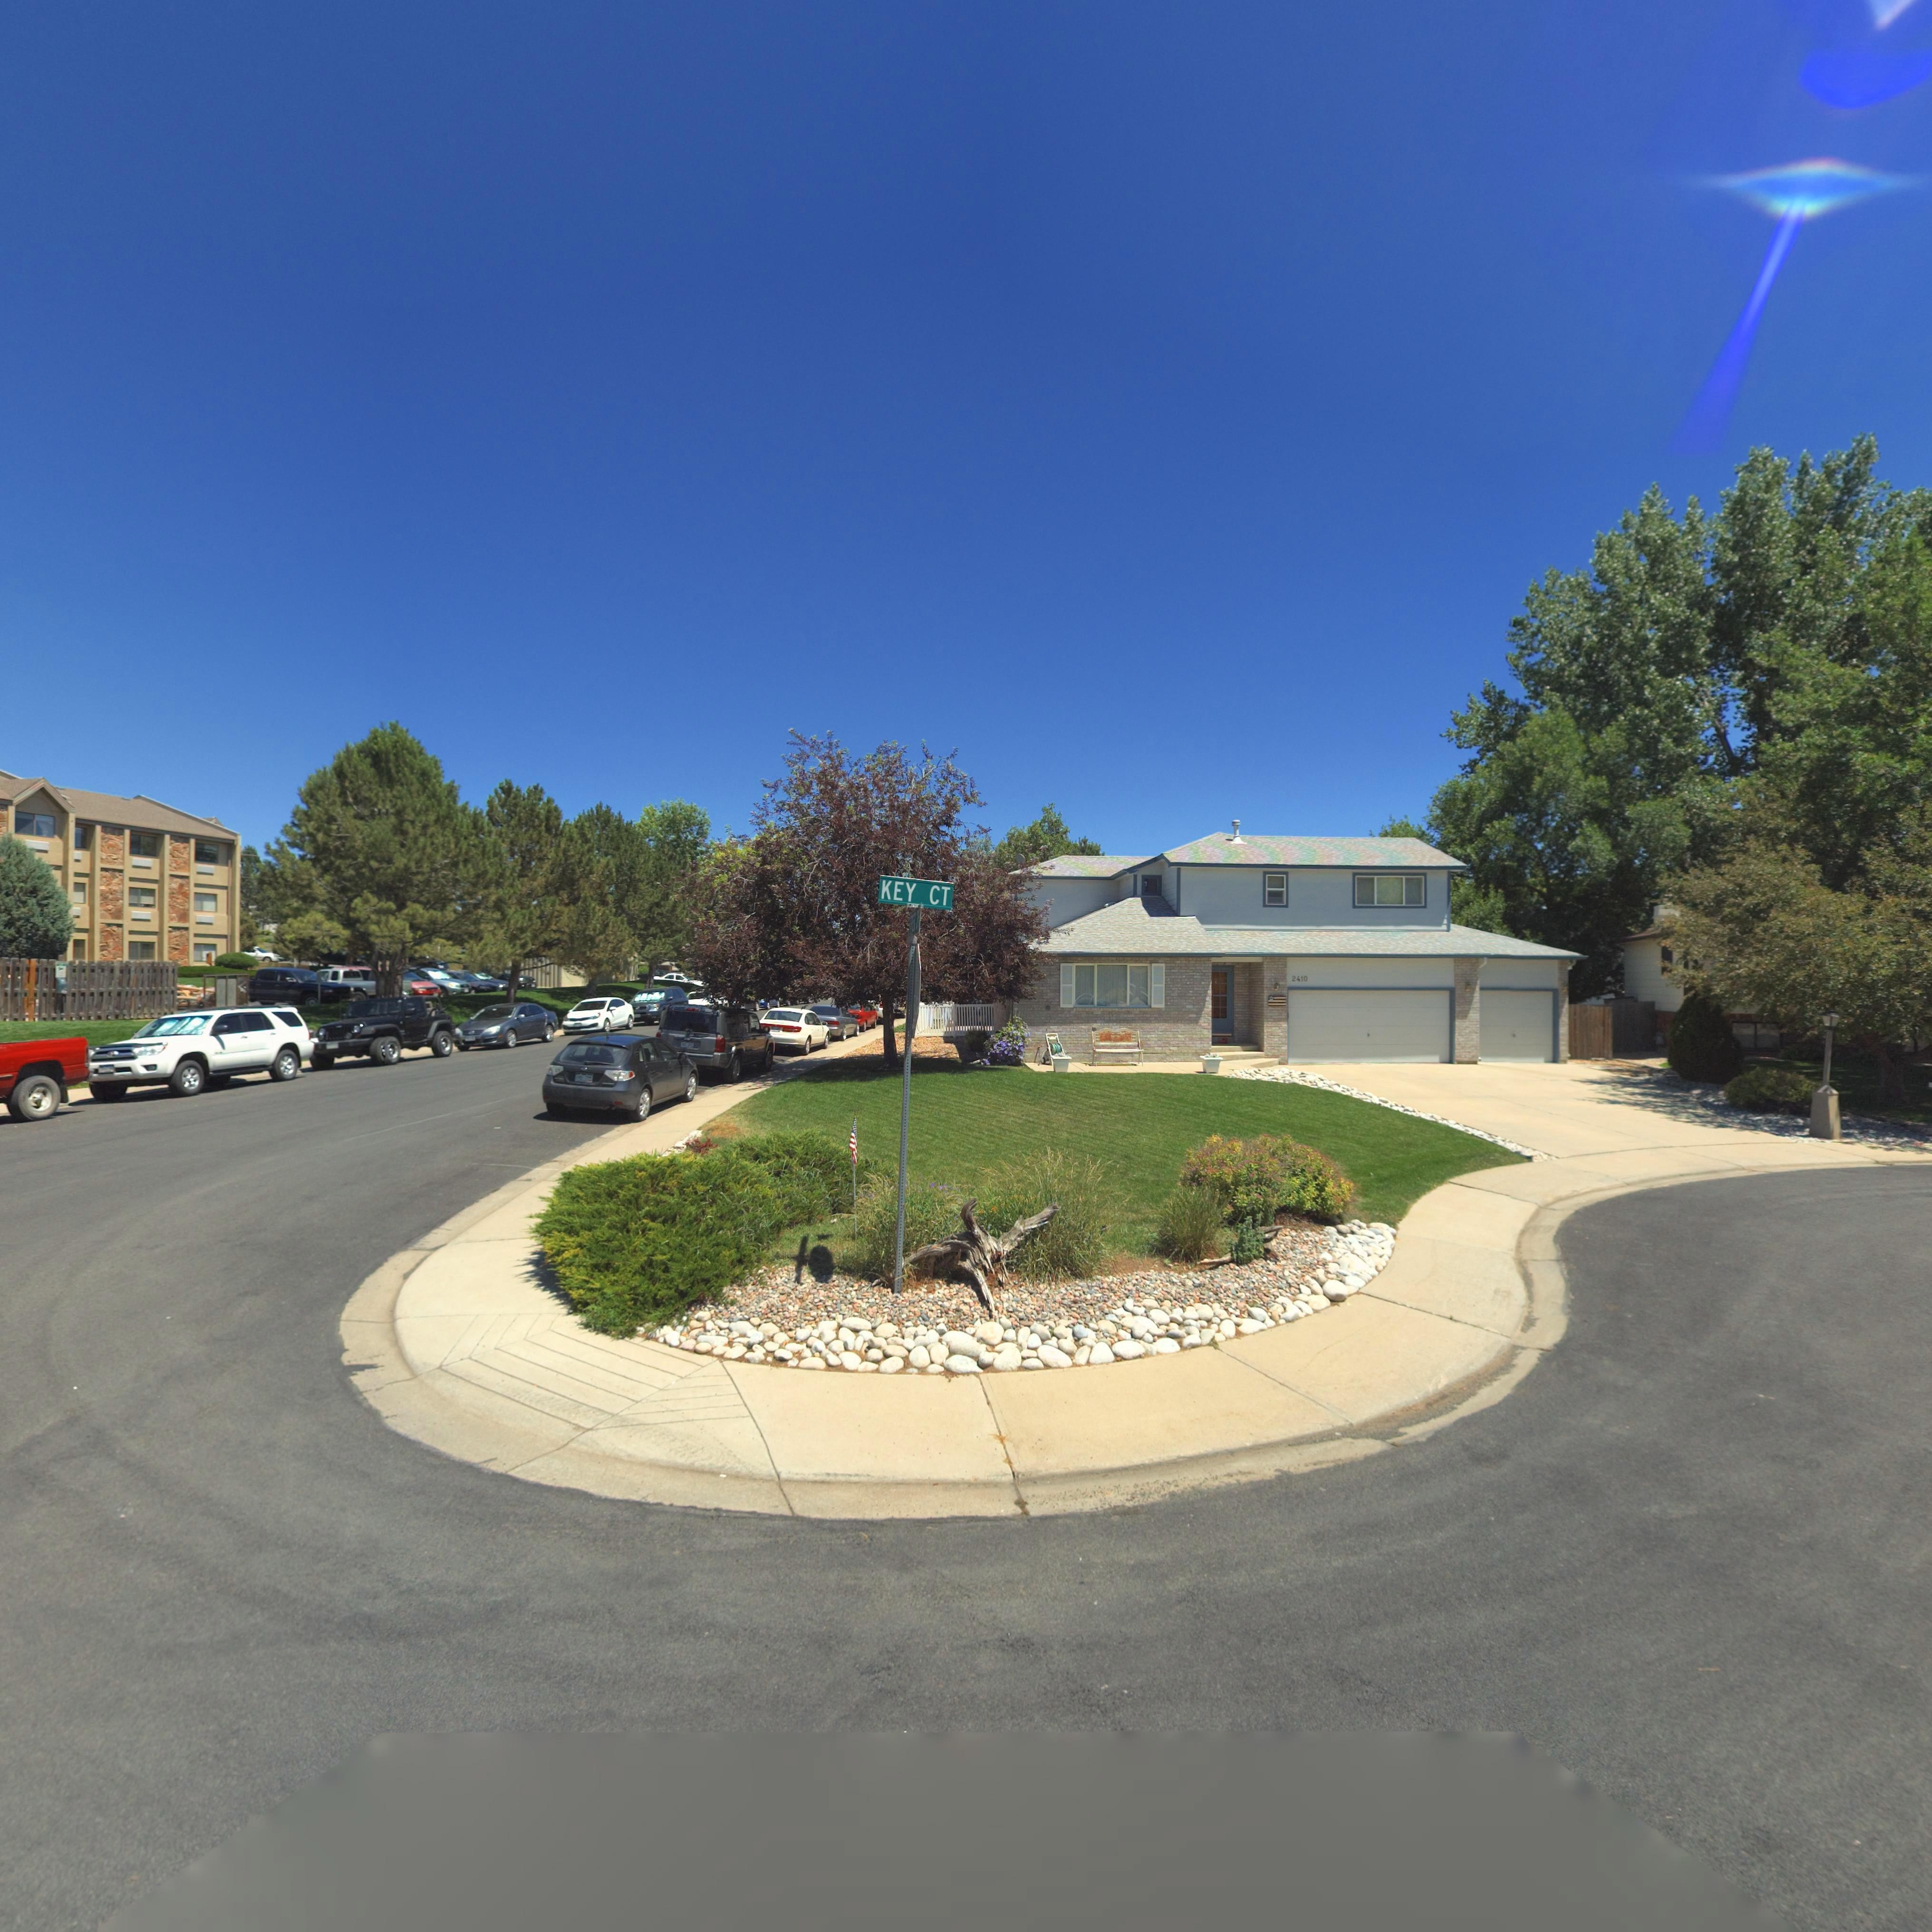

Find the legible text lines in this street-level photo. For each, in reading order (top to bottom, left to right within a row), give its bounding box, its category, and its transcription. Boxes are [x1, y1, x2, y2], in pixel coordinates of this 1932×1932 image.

[880, 879, 951, 906] BusinessName: KEY CT
[1291, 975, 1308, 982] None: 2410